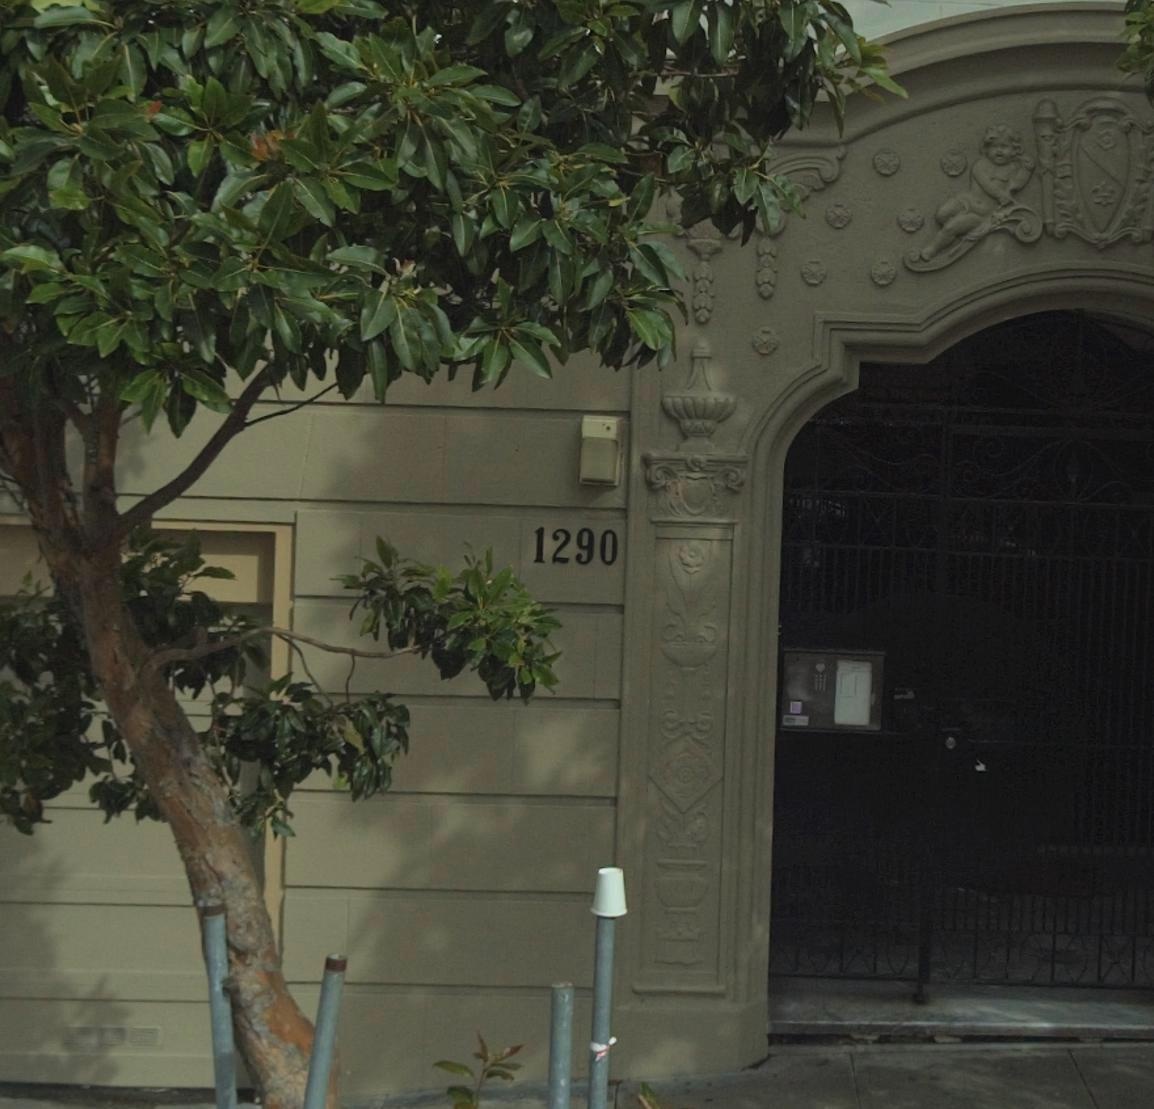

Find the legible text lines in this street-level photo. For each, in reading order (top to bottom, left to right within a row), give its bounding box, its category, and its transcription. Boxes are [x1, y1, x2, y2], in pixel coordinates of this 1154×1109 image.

[531, 523, 621, 569] StreetNumber: 1290